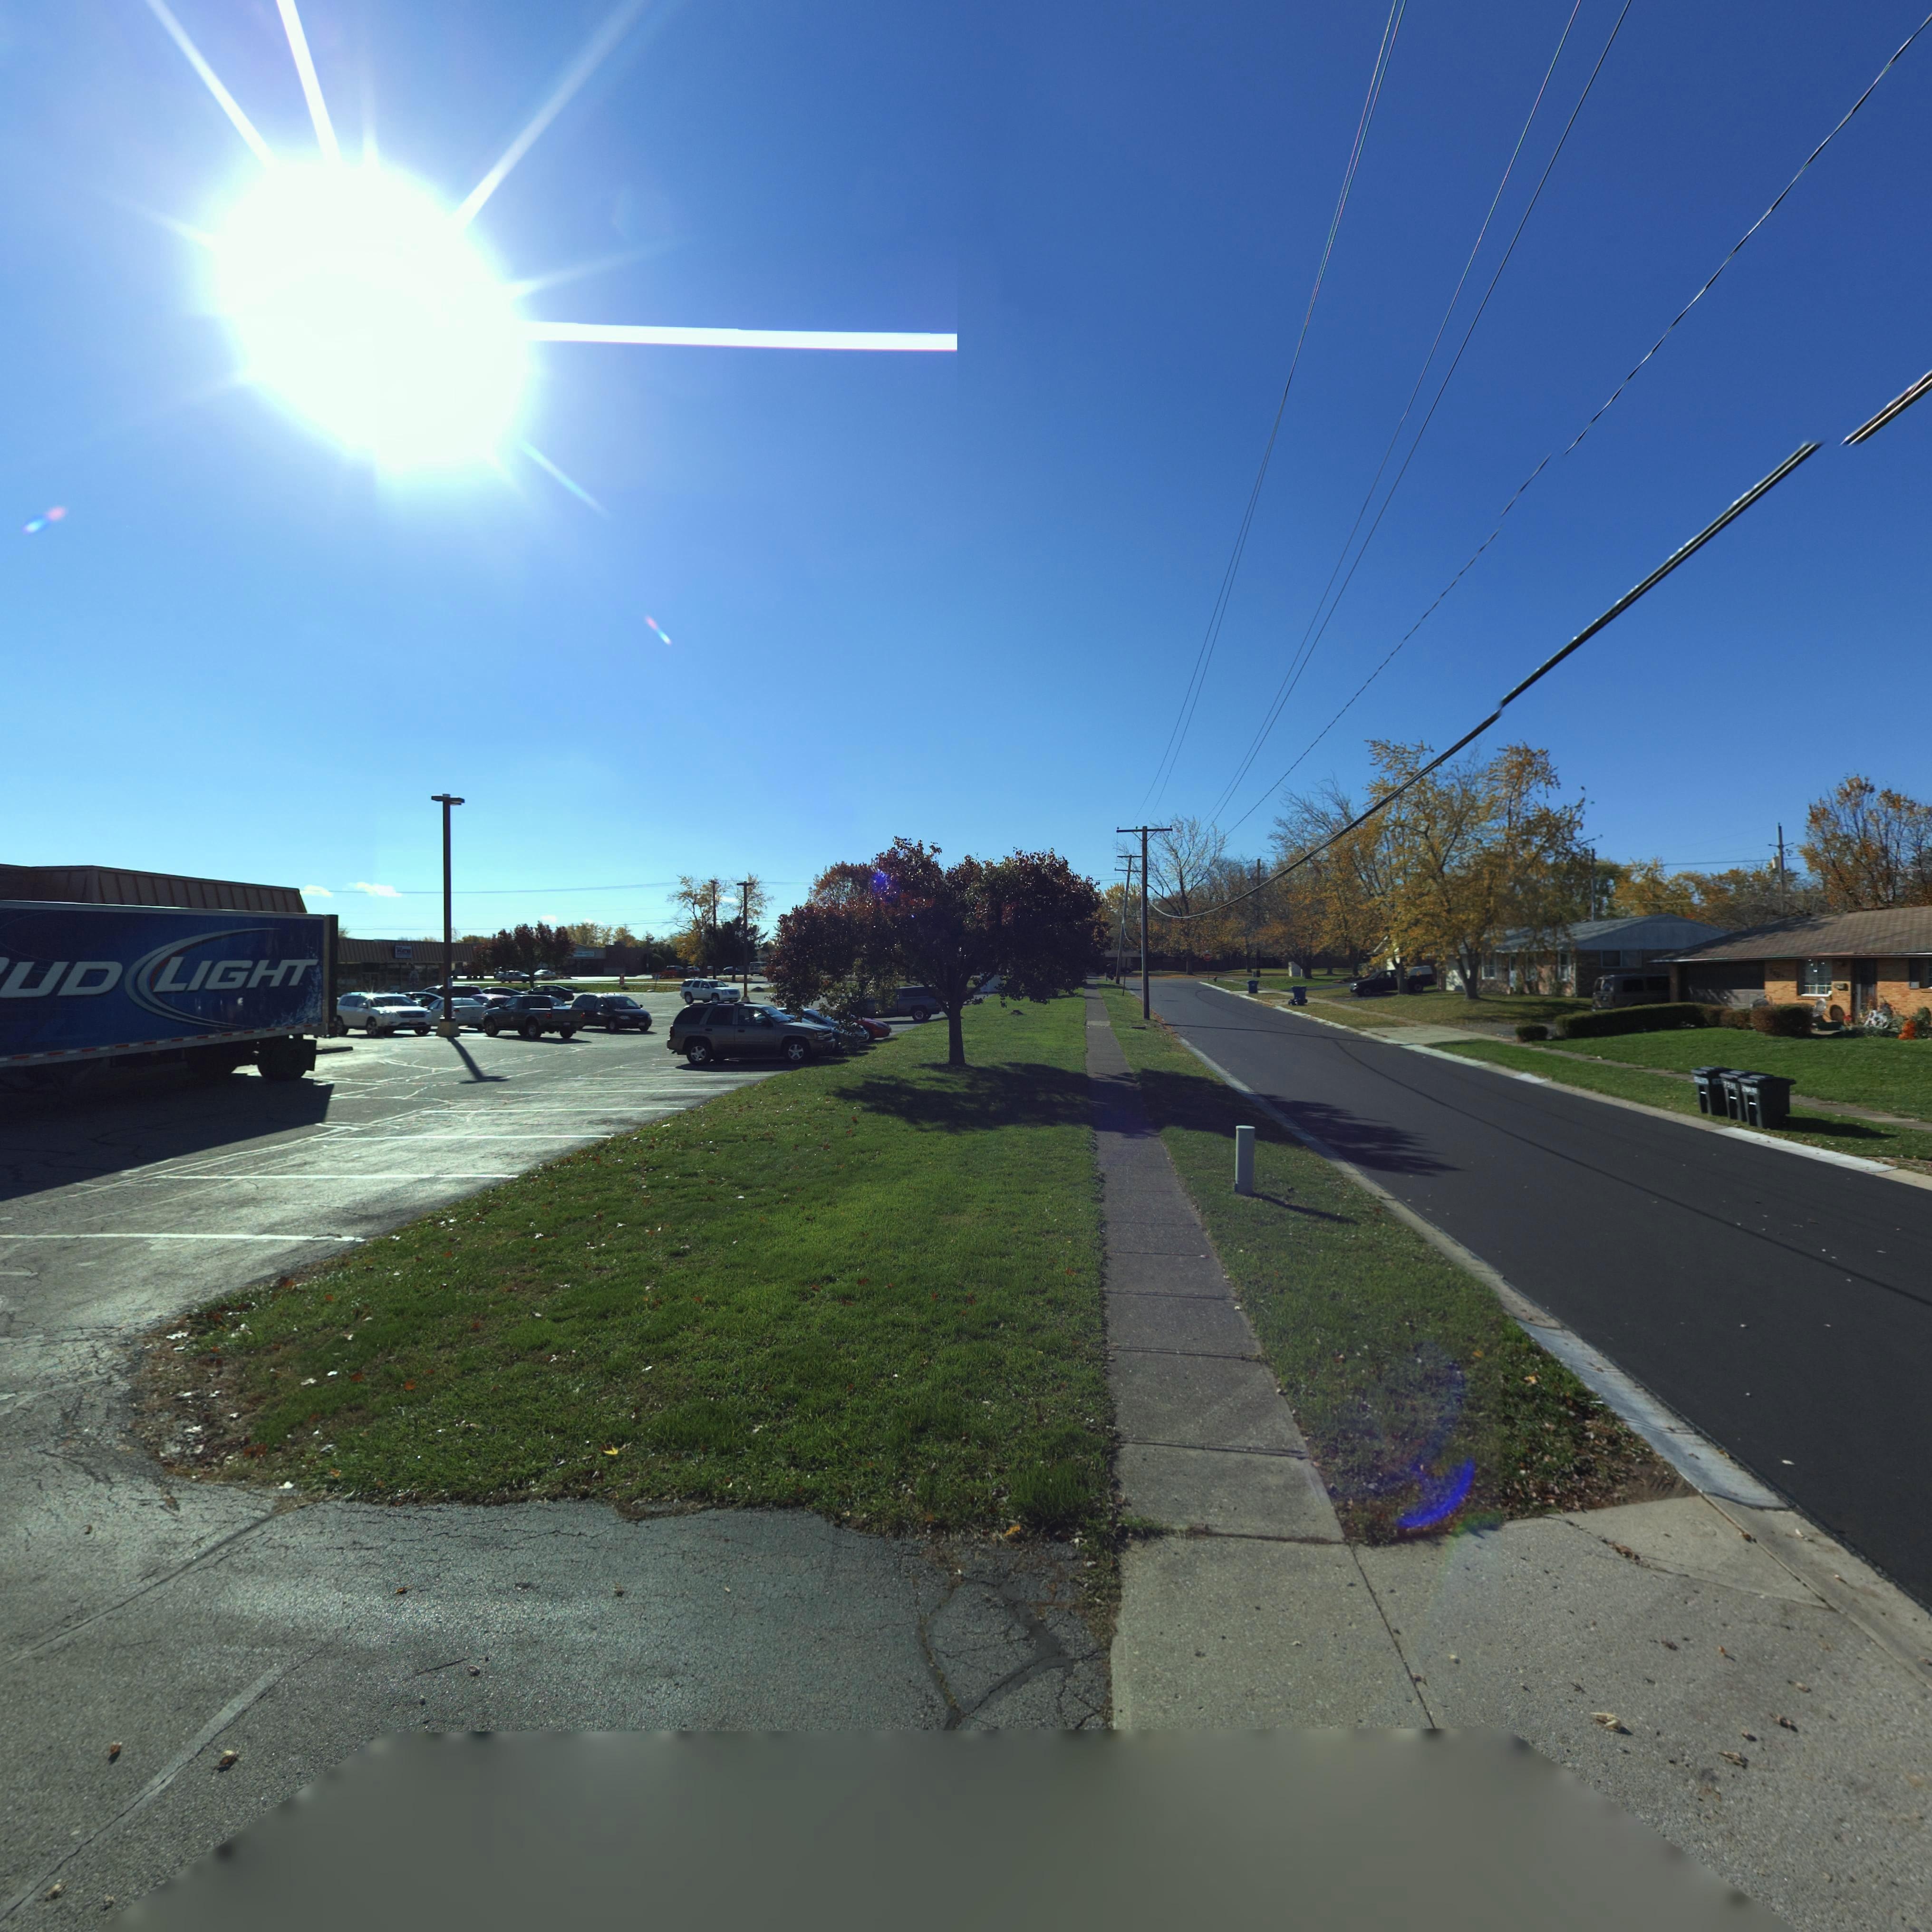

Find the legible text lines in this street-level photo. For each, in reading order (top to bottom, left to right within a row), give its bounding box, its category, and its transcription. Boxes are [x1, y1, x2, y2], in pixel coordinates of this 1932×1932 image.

[1768, 967, 1774, 975] StreetNumber: 7
[1722, 1081, 1737, 1091] StreetNumber: 7531